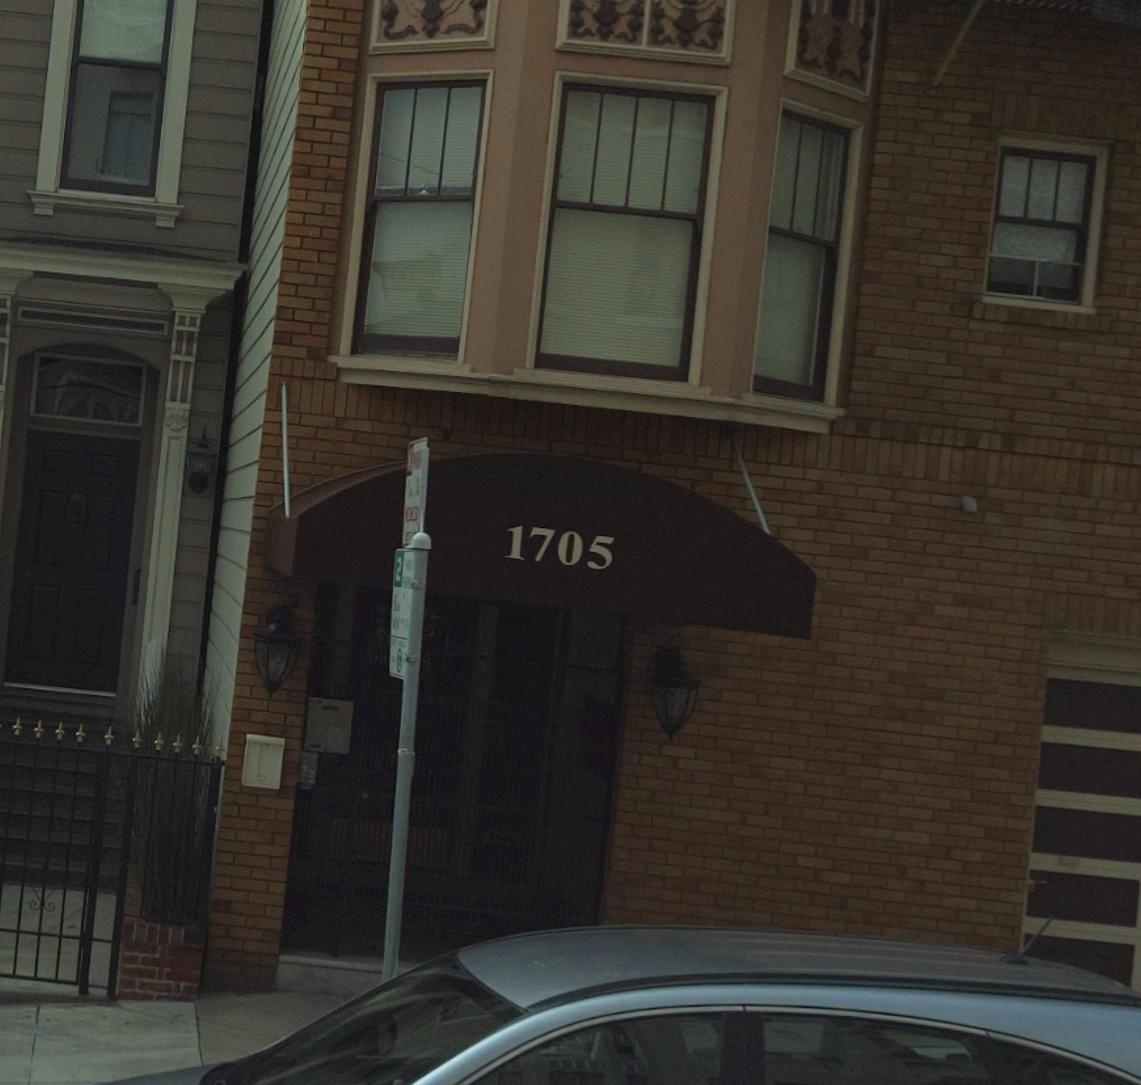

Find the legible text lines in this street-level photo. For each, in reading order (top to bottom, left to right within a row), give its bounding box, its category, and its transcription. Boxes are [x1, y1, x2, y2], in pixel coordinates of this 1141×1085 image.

[393, 554, 404, 584] None: 2
[500, 522, 617, 574] StreetNumber: 1705